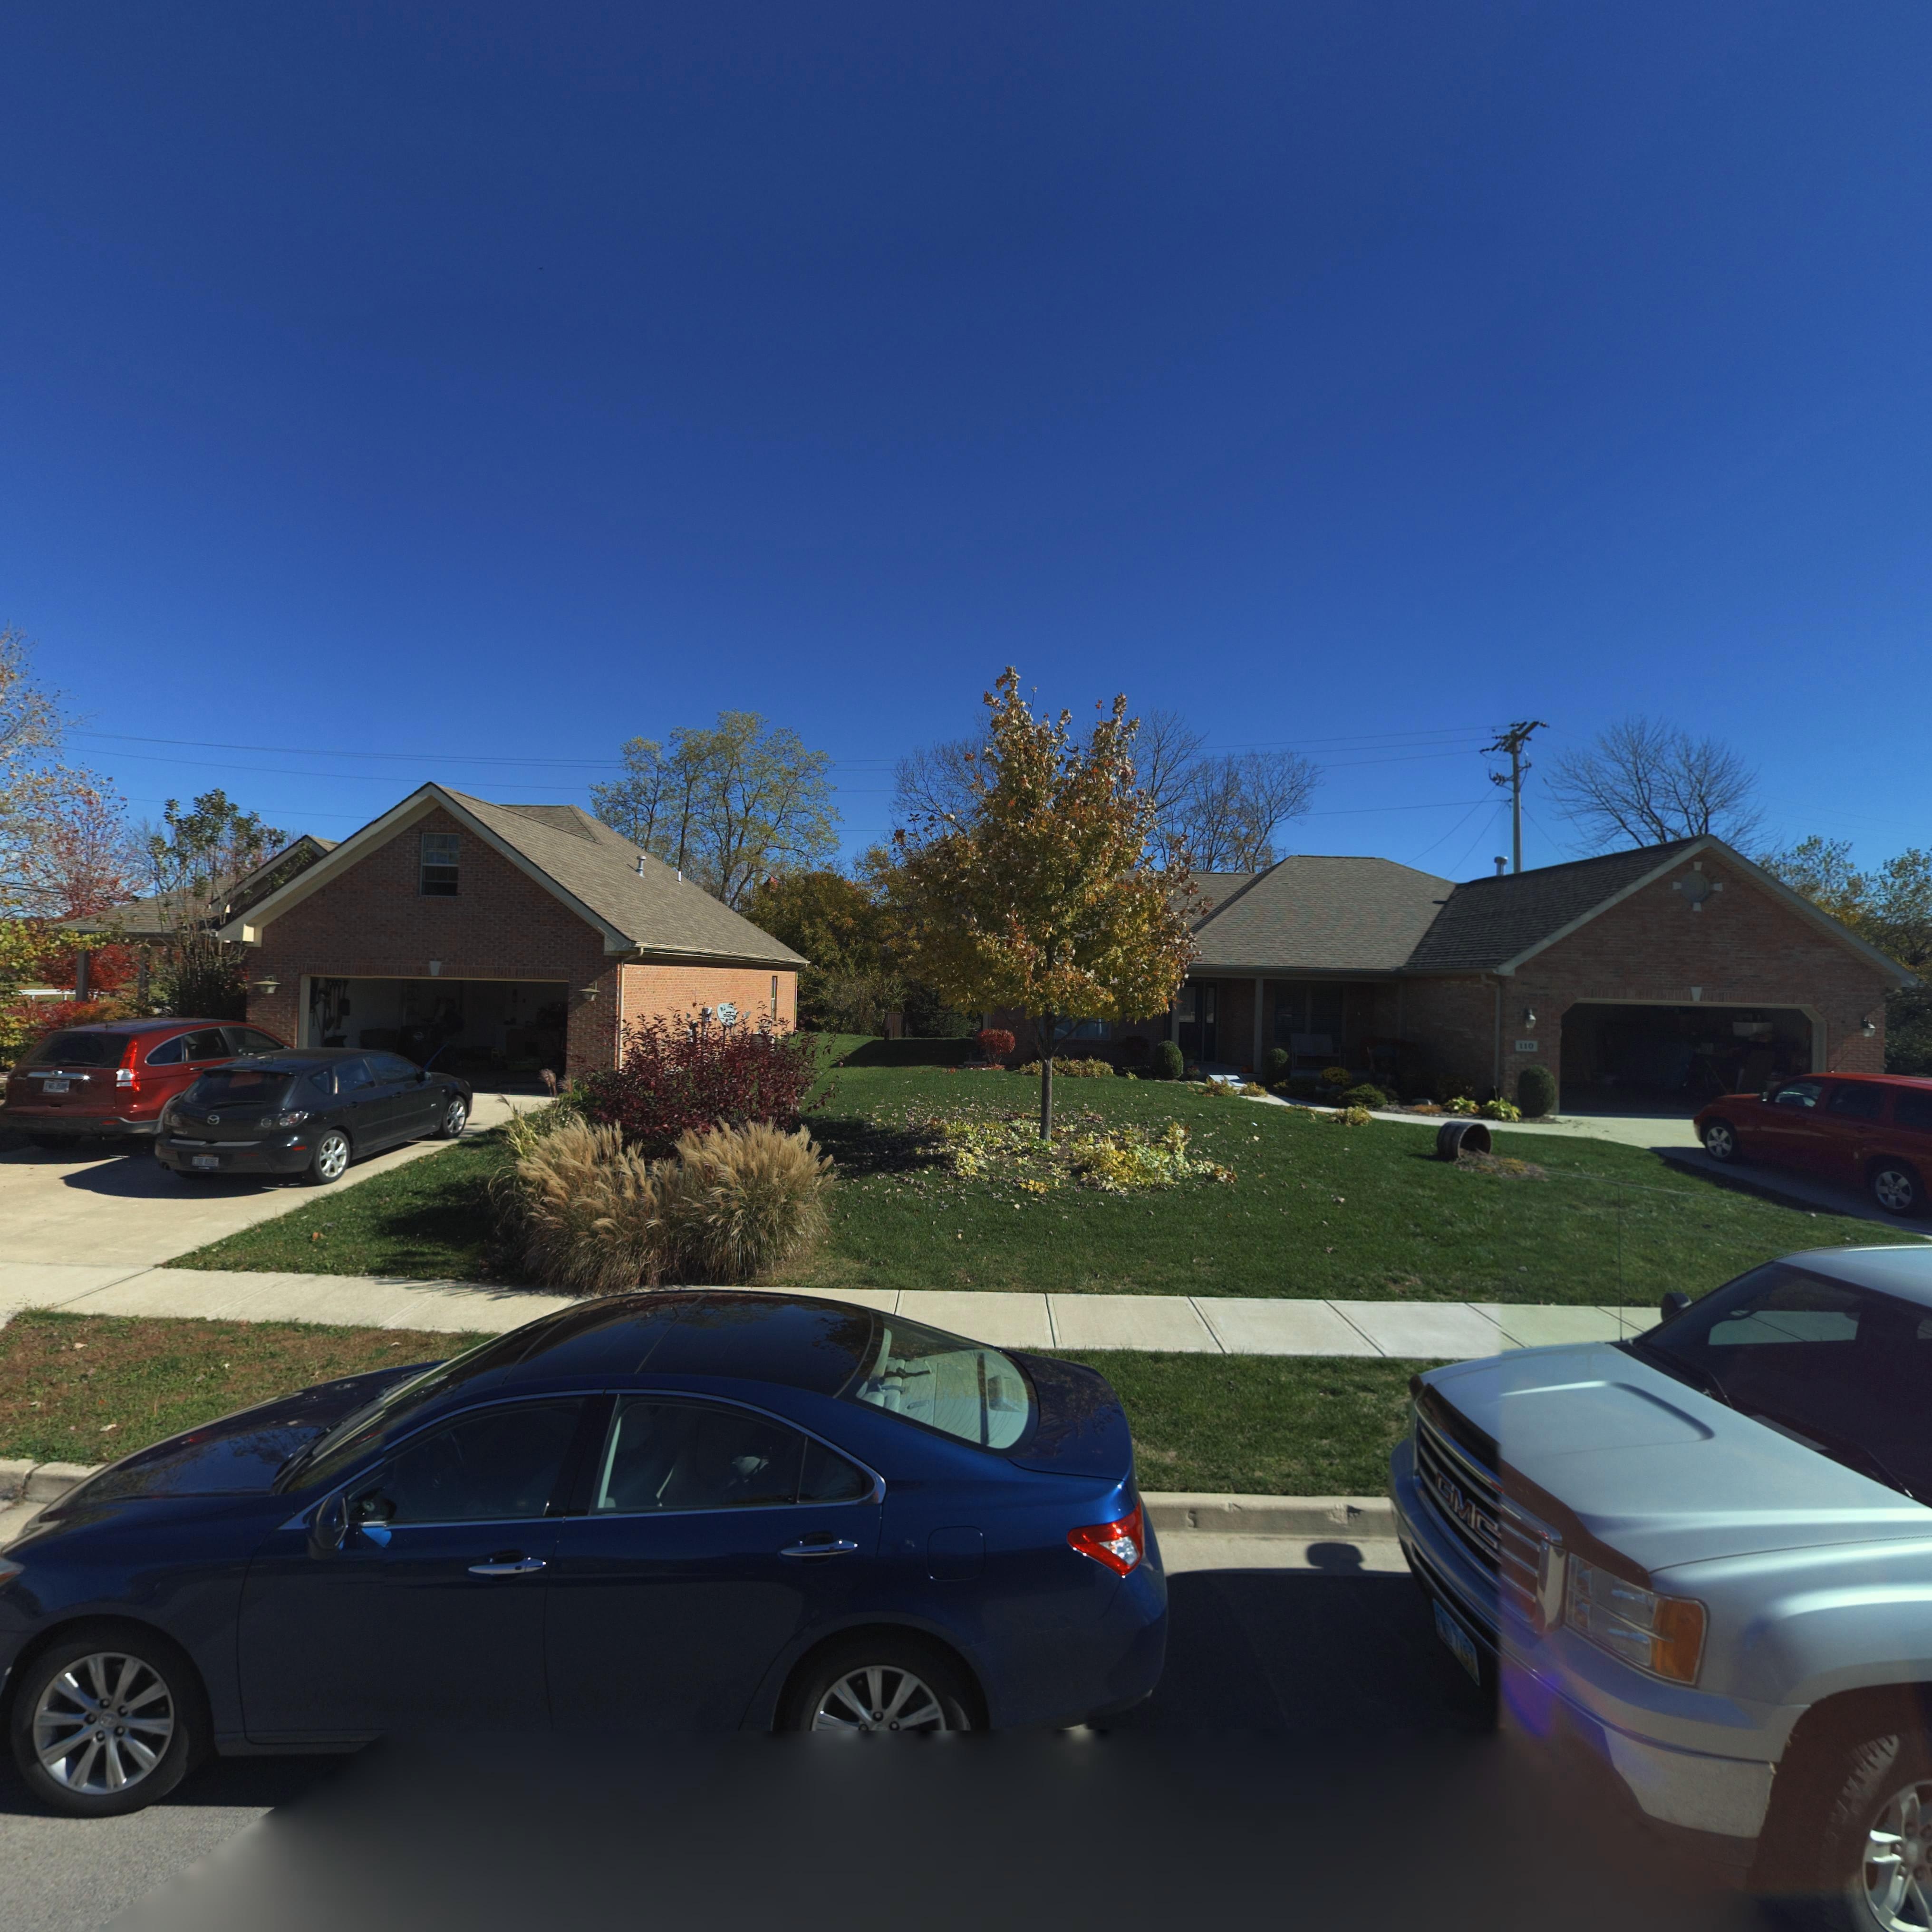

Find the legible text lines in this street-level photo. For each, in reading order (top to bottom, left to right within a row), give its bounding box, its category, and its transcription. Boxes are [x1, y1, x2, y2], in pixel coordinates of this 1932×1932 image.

[1518, 1042, 1535, 1051] StreetNumber: 110